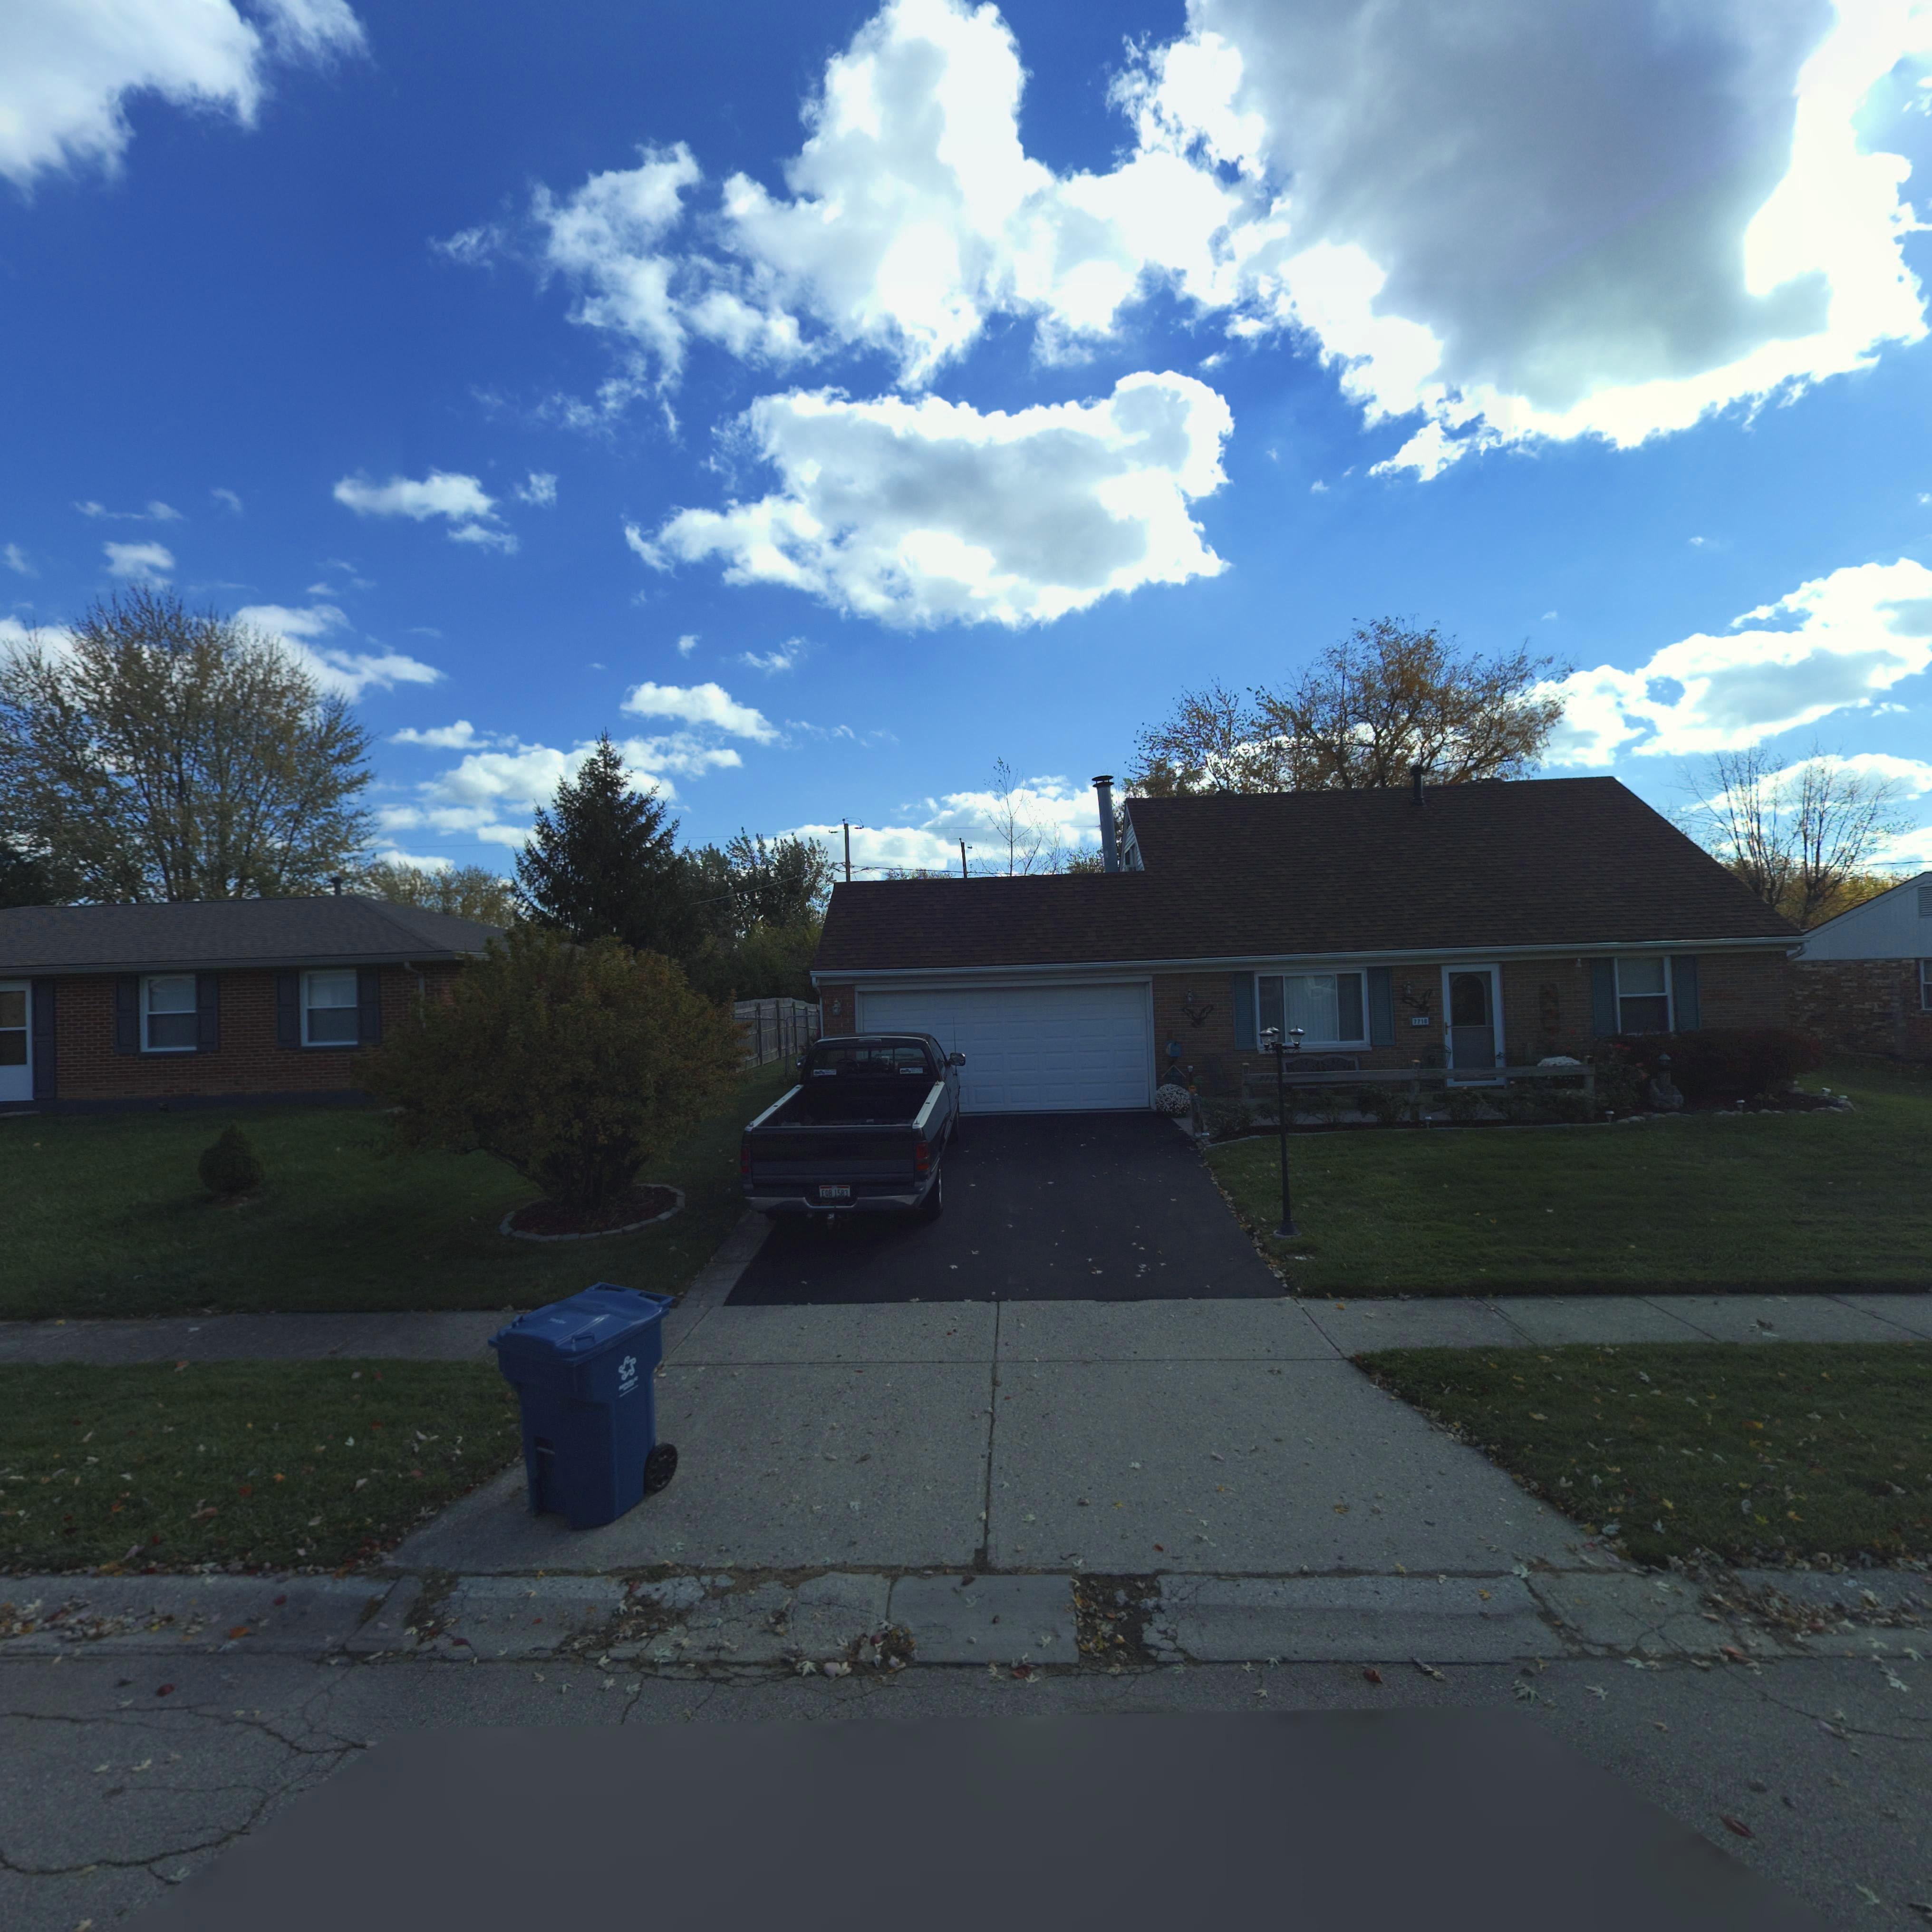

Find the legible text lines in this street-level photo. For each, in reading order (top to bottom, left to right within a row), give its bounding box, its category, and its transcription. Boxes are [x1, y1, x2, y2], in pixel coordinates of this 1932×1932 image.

[1412, 1018, 1428, 1025] StreetNumber: 7710